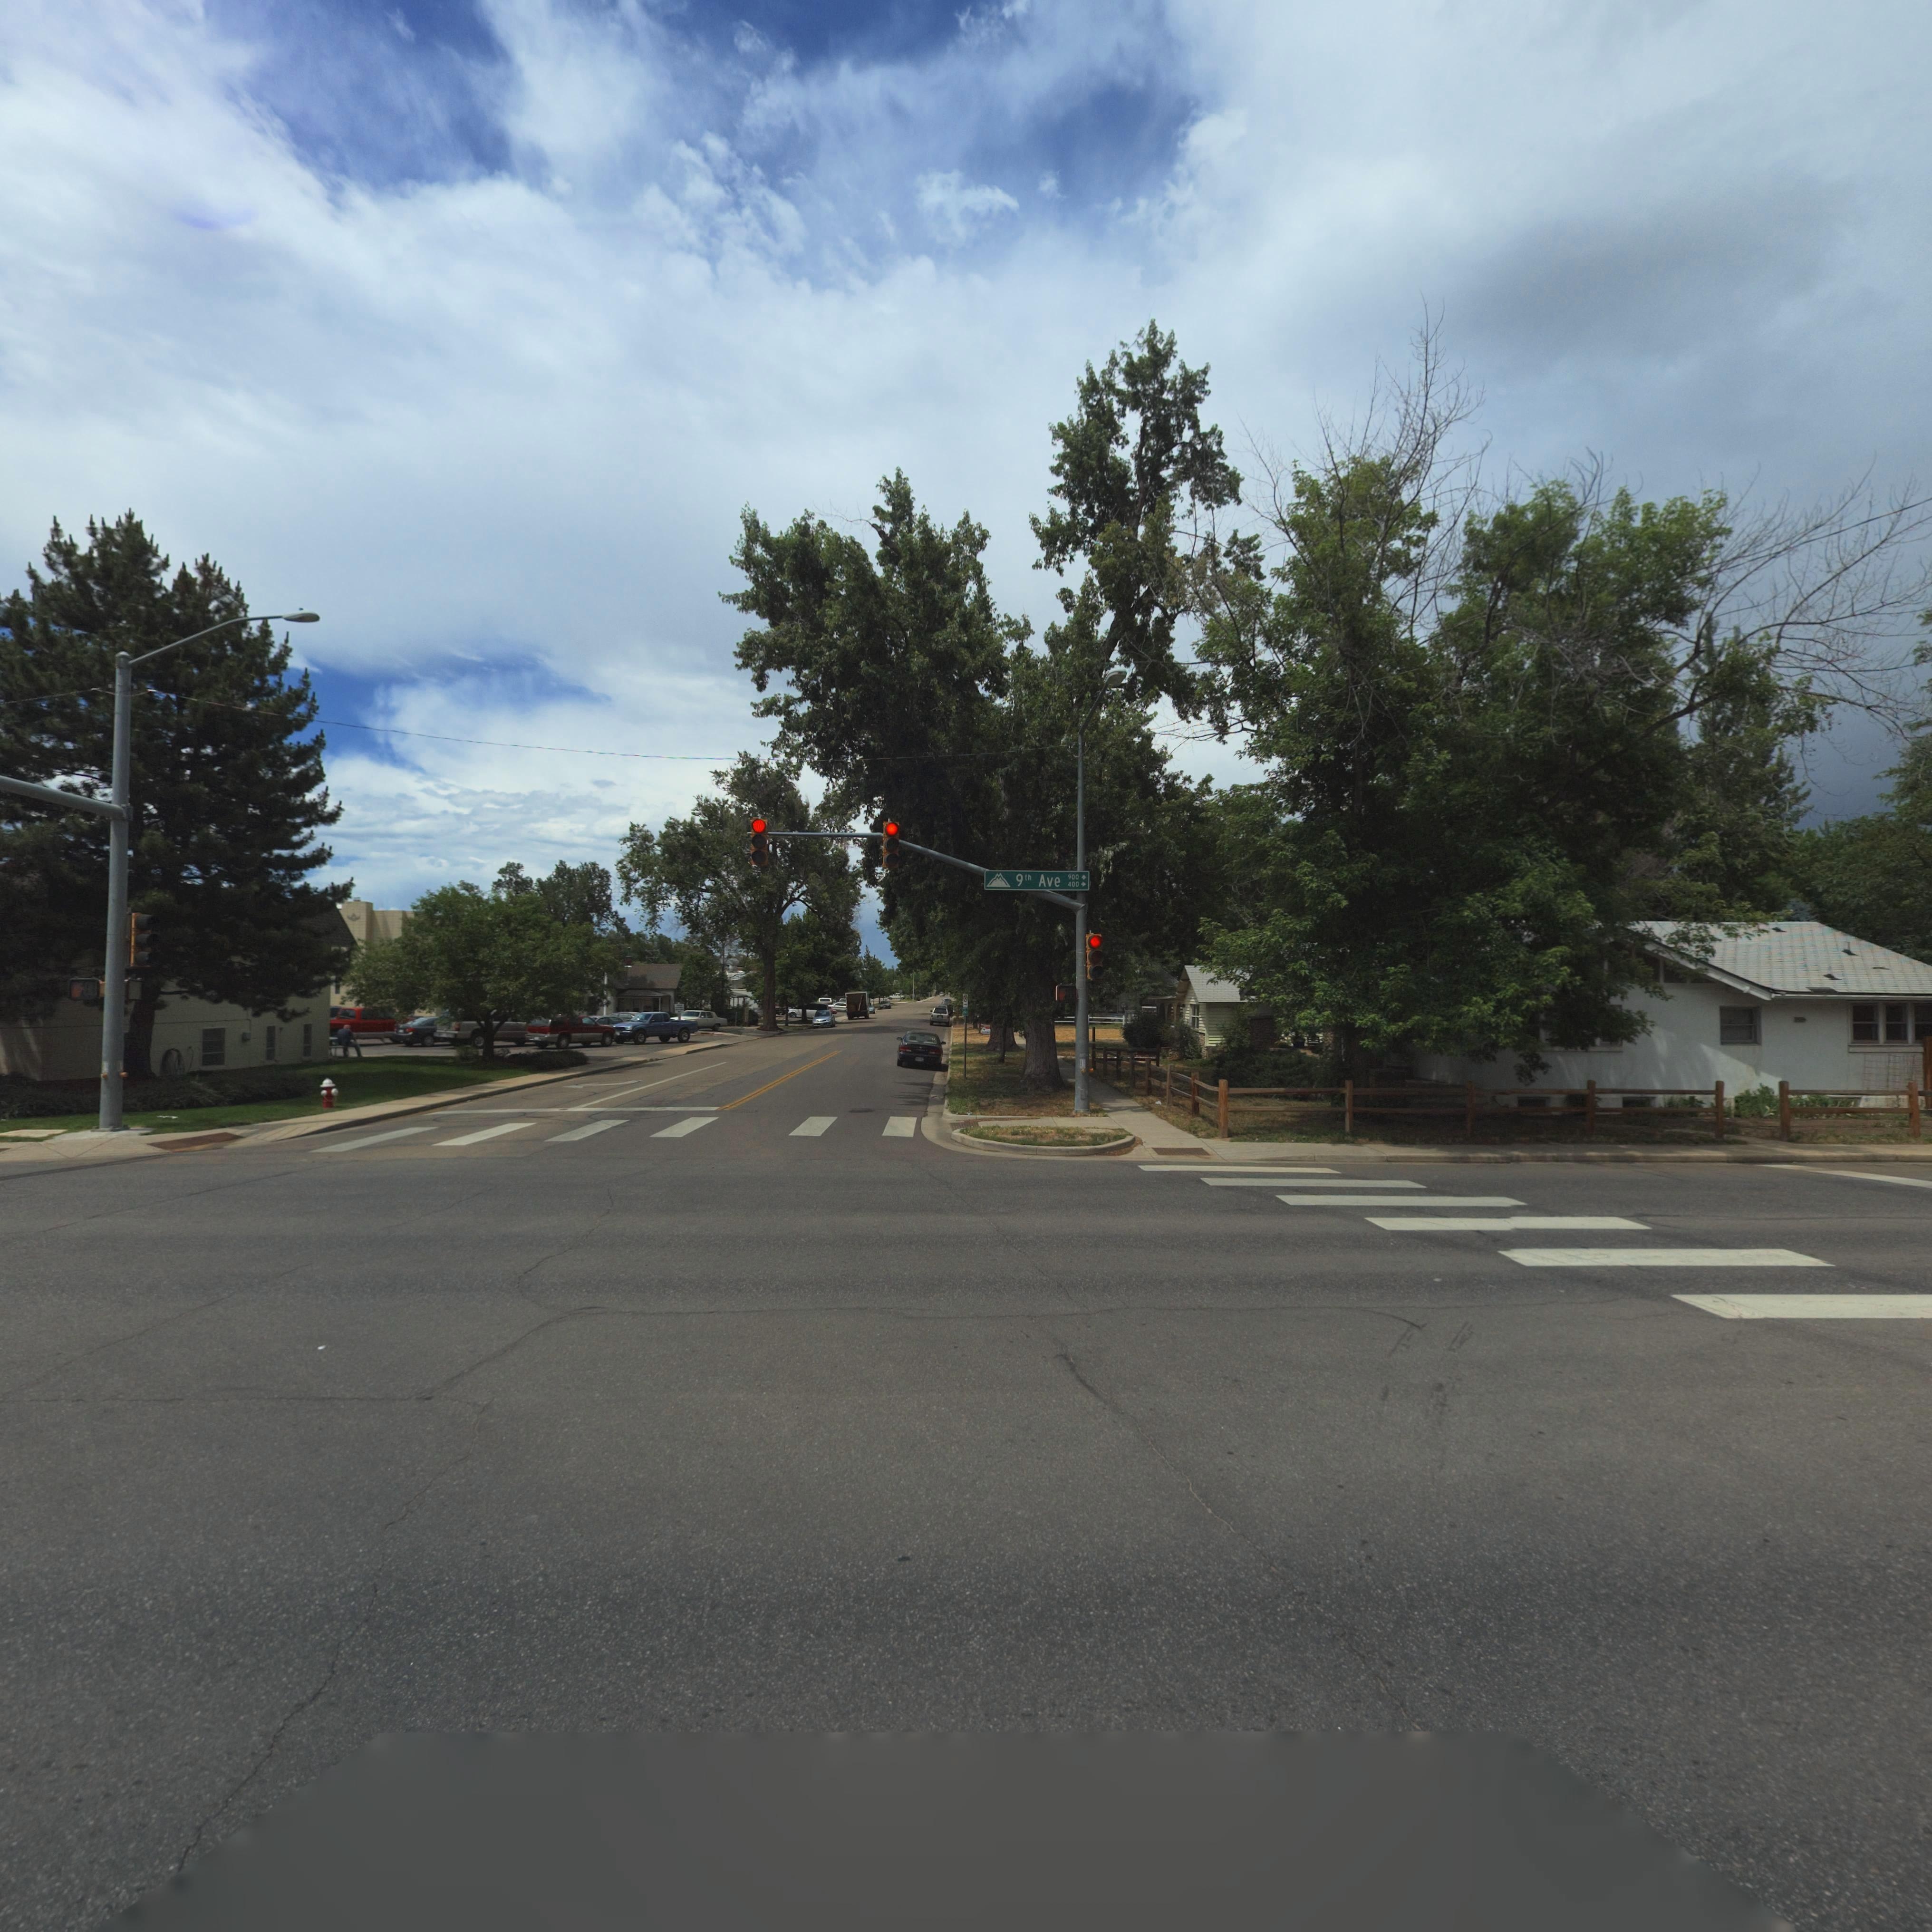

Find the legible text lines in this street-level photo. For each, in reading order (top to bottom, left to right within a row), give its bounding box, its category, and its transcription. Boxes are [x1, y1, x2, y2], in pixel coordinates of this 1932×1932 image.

[1068, 873, 1079, 880] StreetNumberRange: 900
[1015, 873, 1061, 888] StreetName: 9th Ave
[1067, 881, 1086, 887] StreetNumberRange: 400->